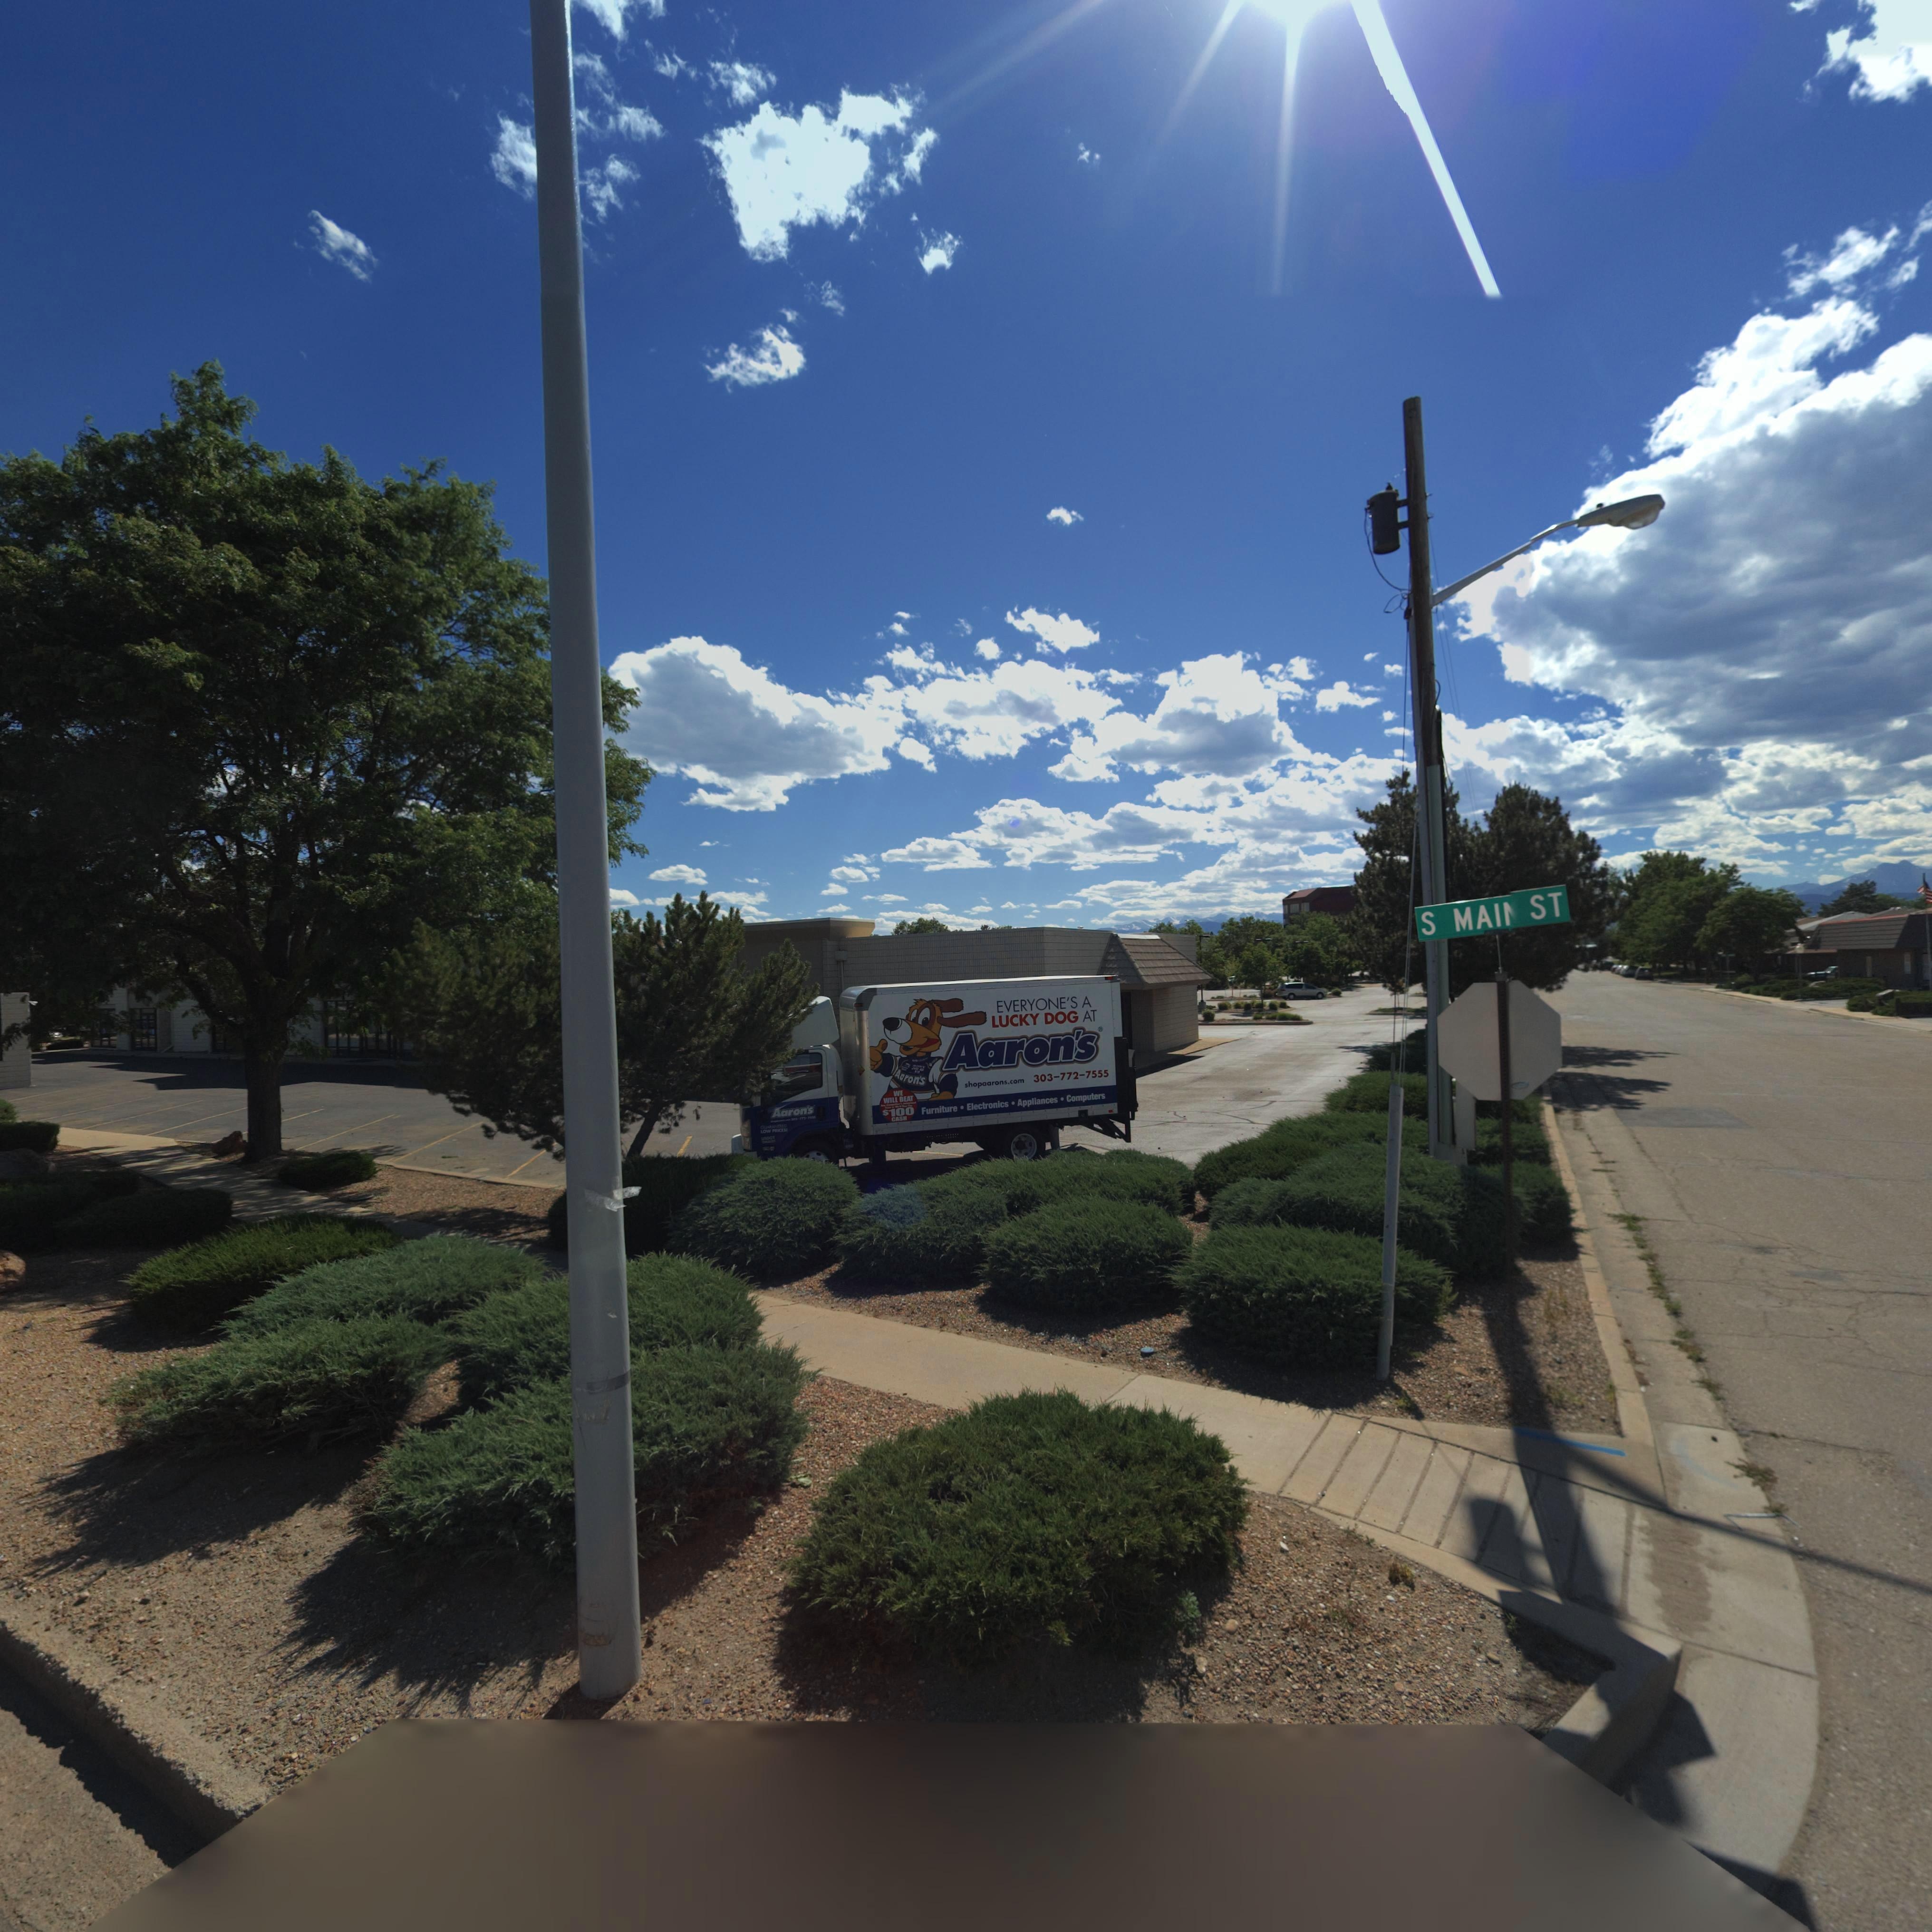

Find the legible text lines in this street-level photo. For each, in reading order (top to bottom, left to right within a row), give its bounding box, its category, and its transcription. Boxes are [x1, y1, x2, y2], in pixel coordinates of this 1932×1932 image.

[1420, 890, 1563, 937] BusinessName: S MAI* ST